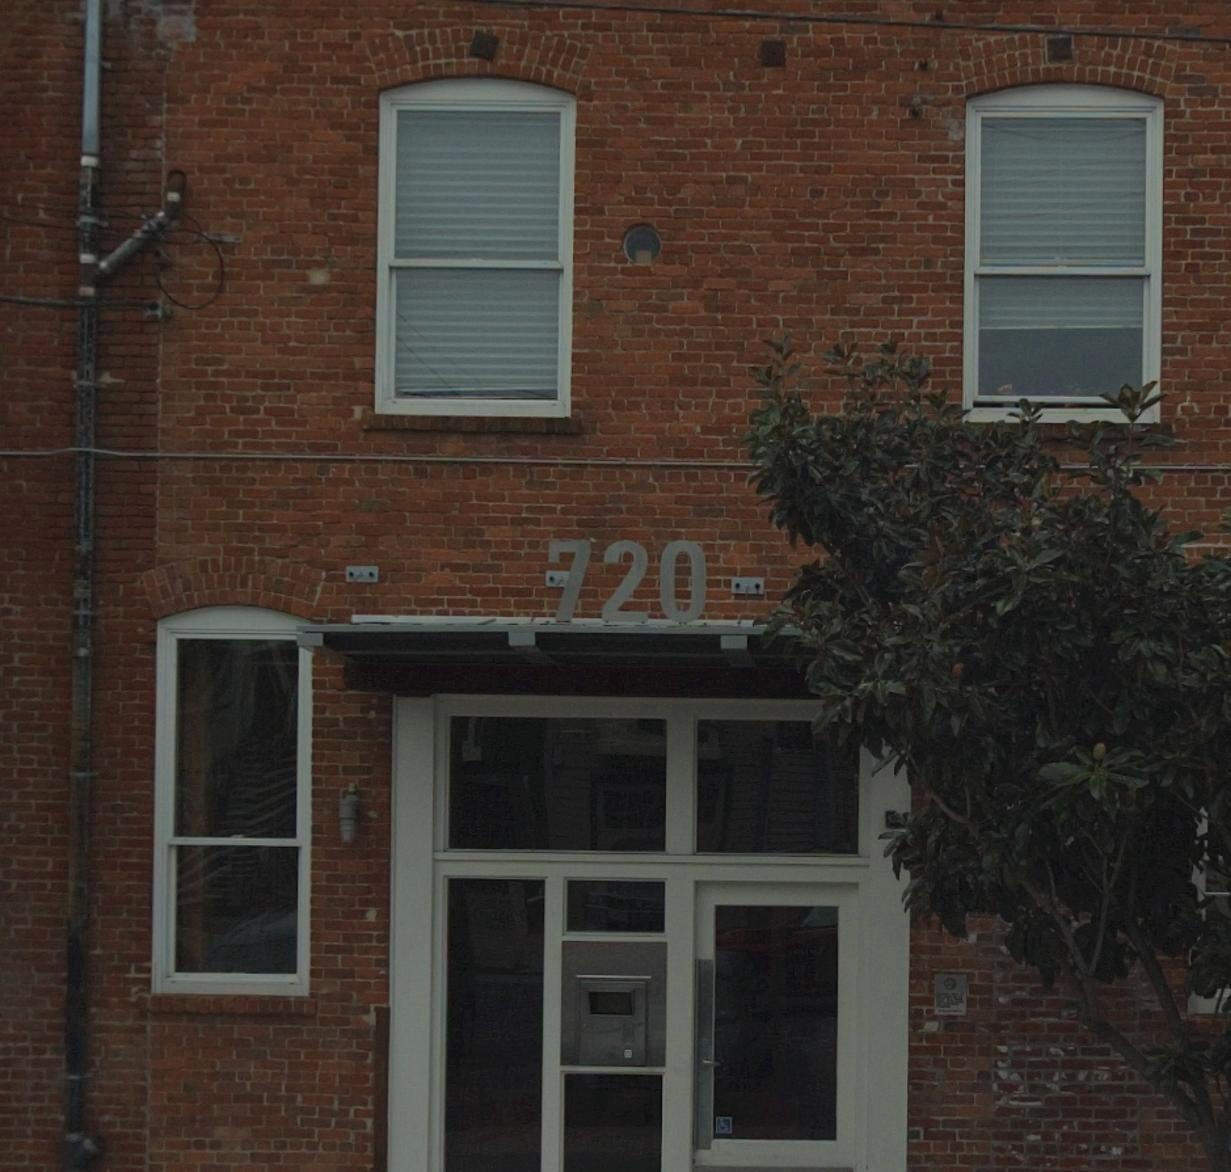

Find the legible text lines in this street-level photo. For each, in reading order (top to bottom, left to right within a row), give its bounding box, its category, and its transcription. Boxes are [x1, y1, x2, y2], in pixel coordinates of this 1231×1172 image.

[546, 538, 709, 624] StreetNumber: 720